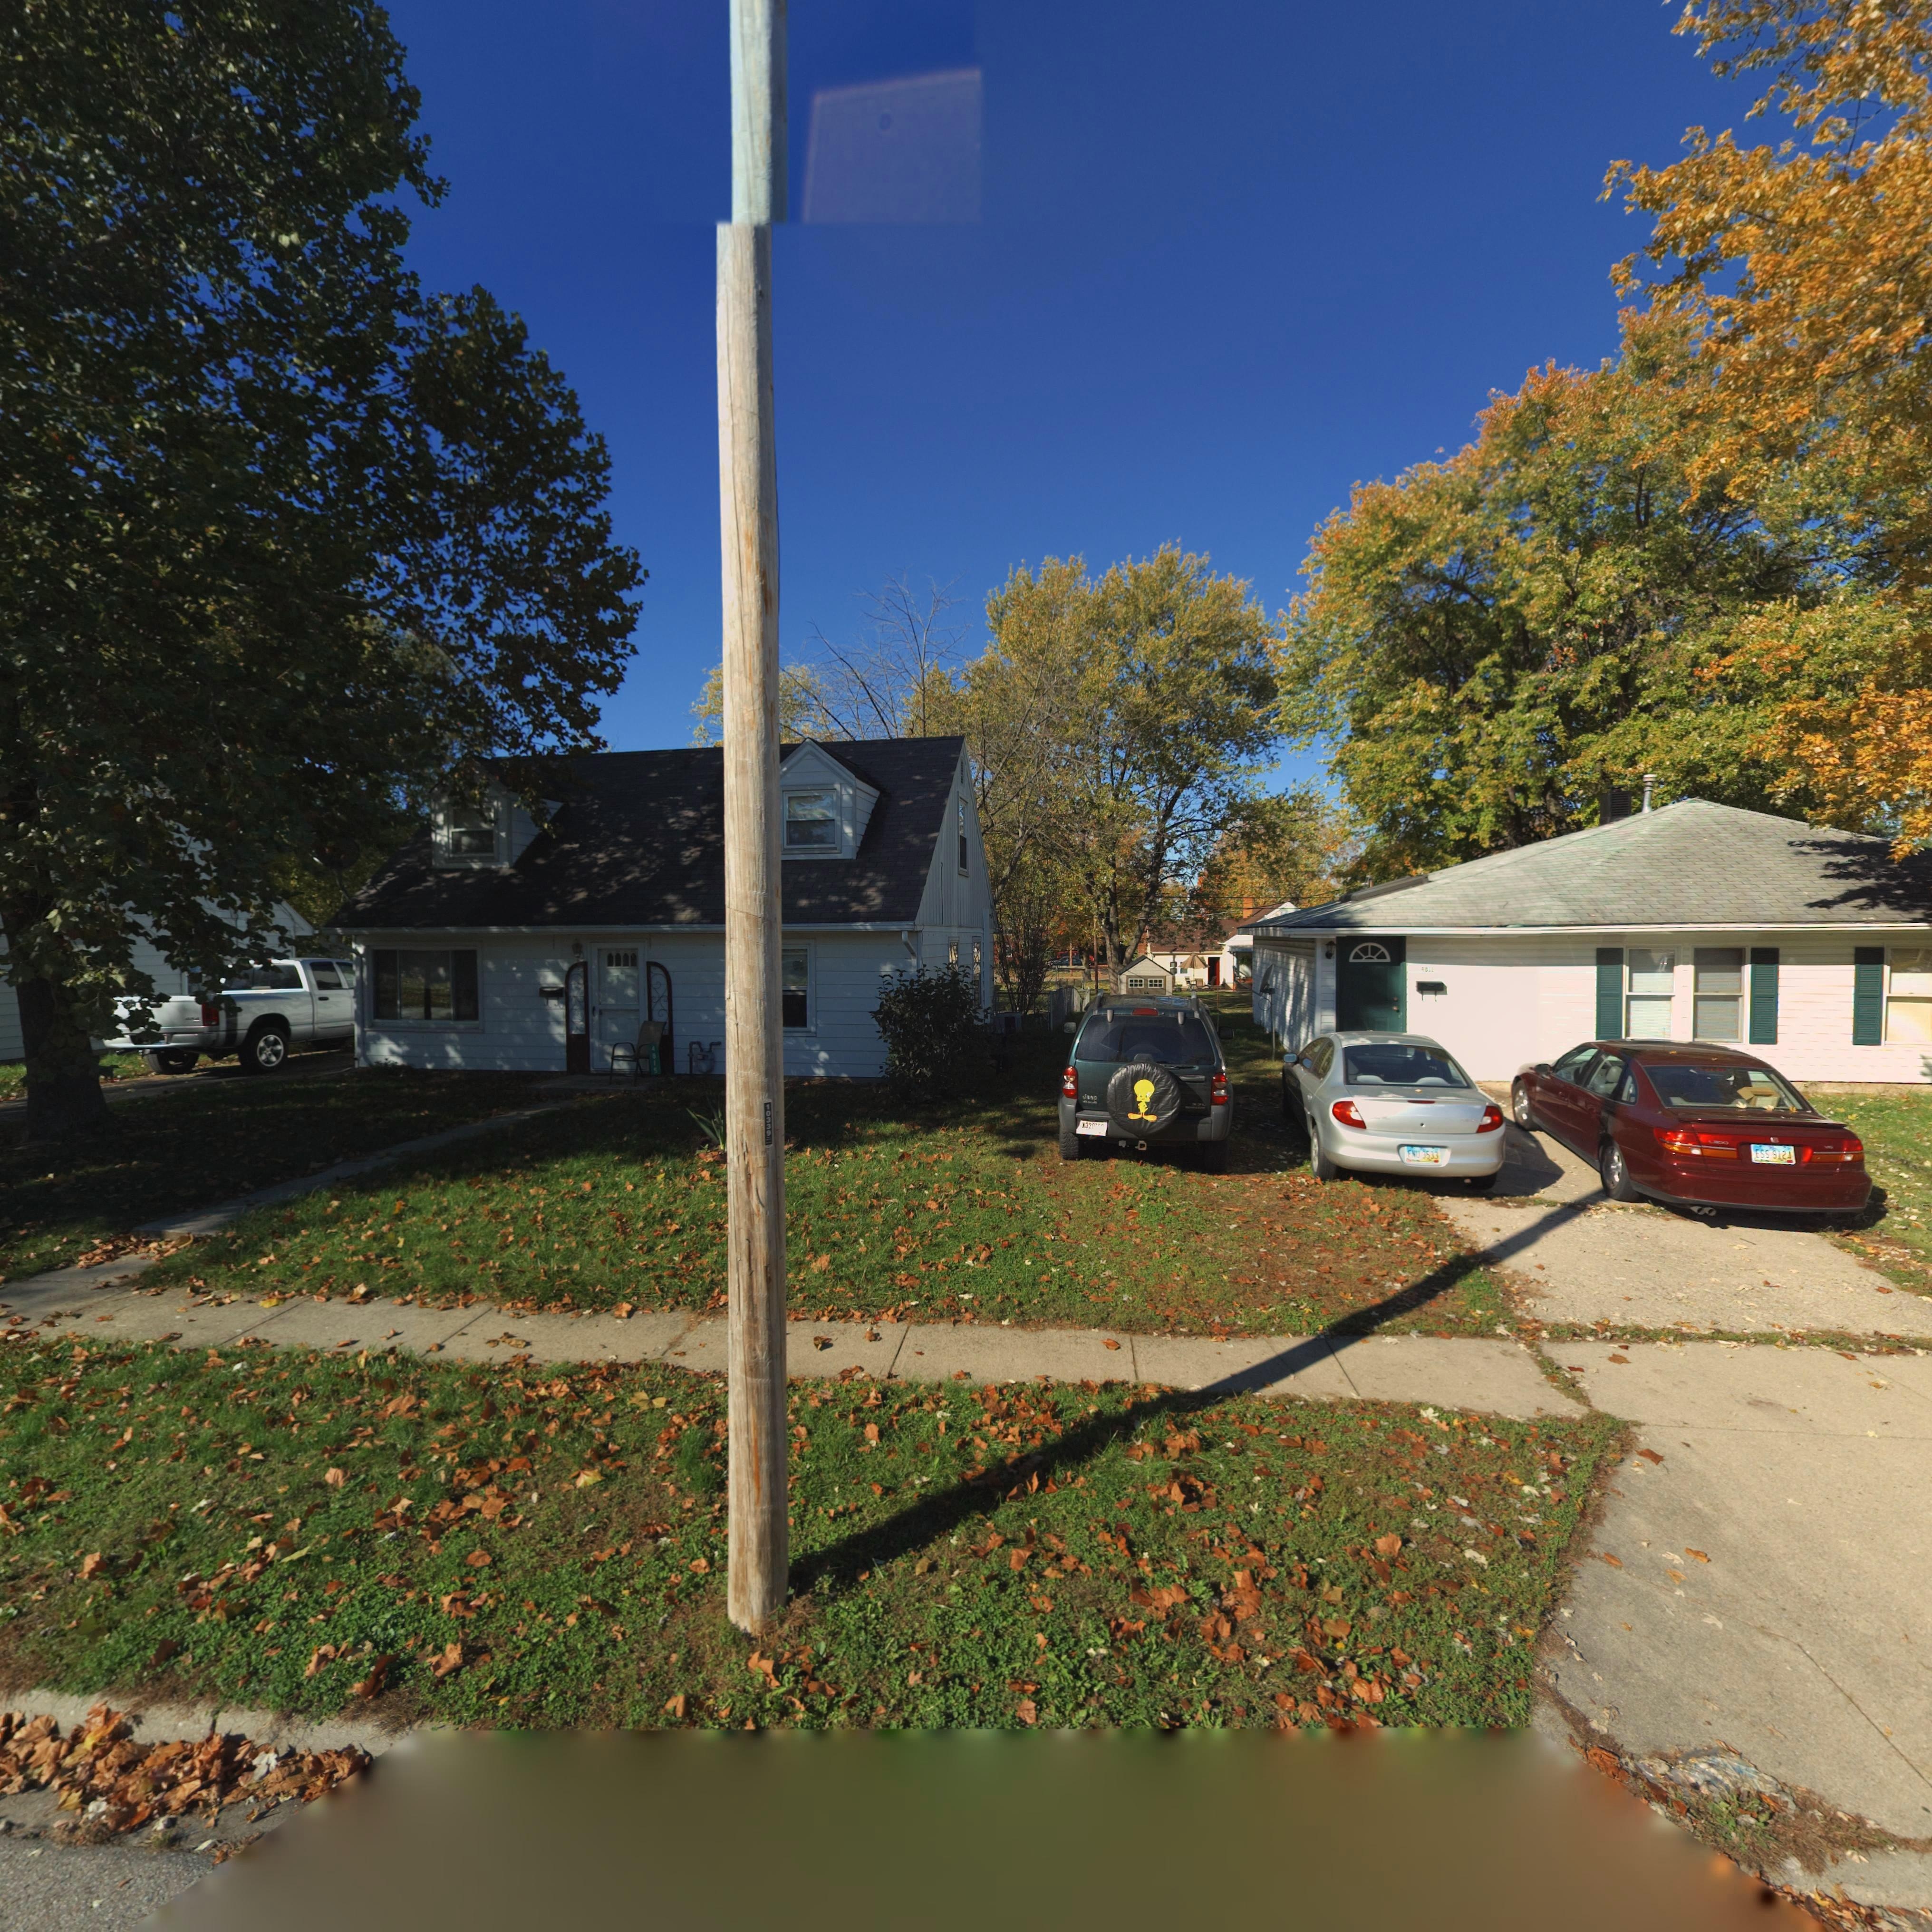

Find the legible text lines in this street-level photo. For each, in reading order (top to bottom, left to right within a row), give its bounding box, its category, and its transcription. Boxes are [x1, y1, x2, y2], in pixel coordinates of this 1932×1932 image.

[1420, 966, 1434, 973] StreetNumber: 4811
[651, 1045, 658, 1074] StreetNumber: 4815